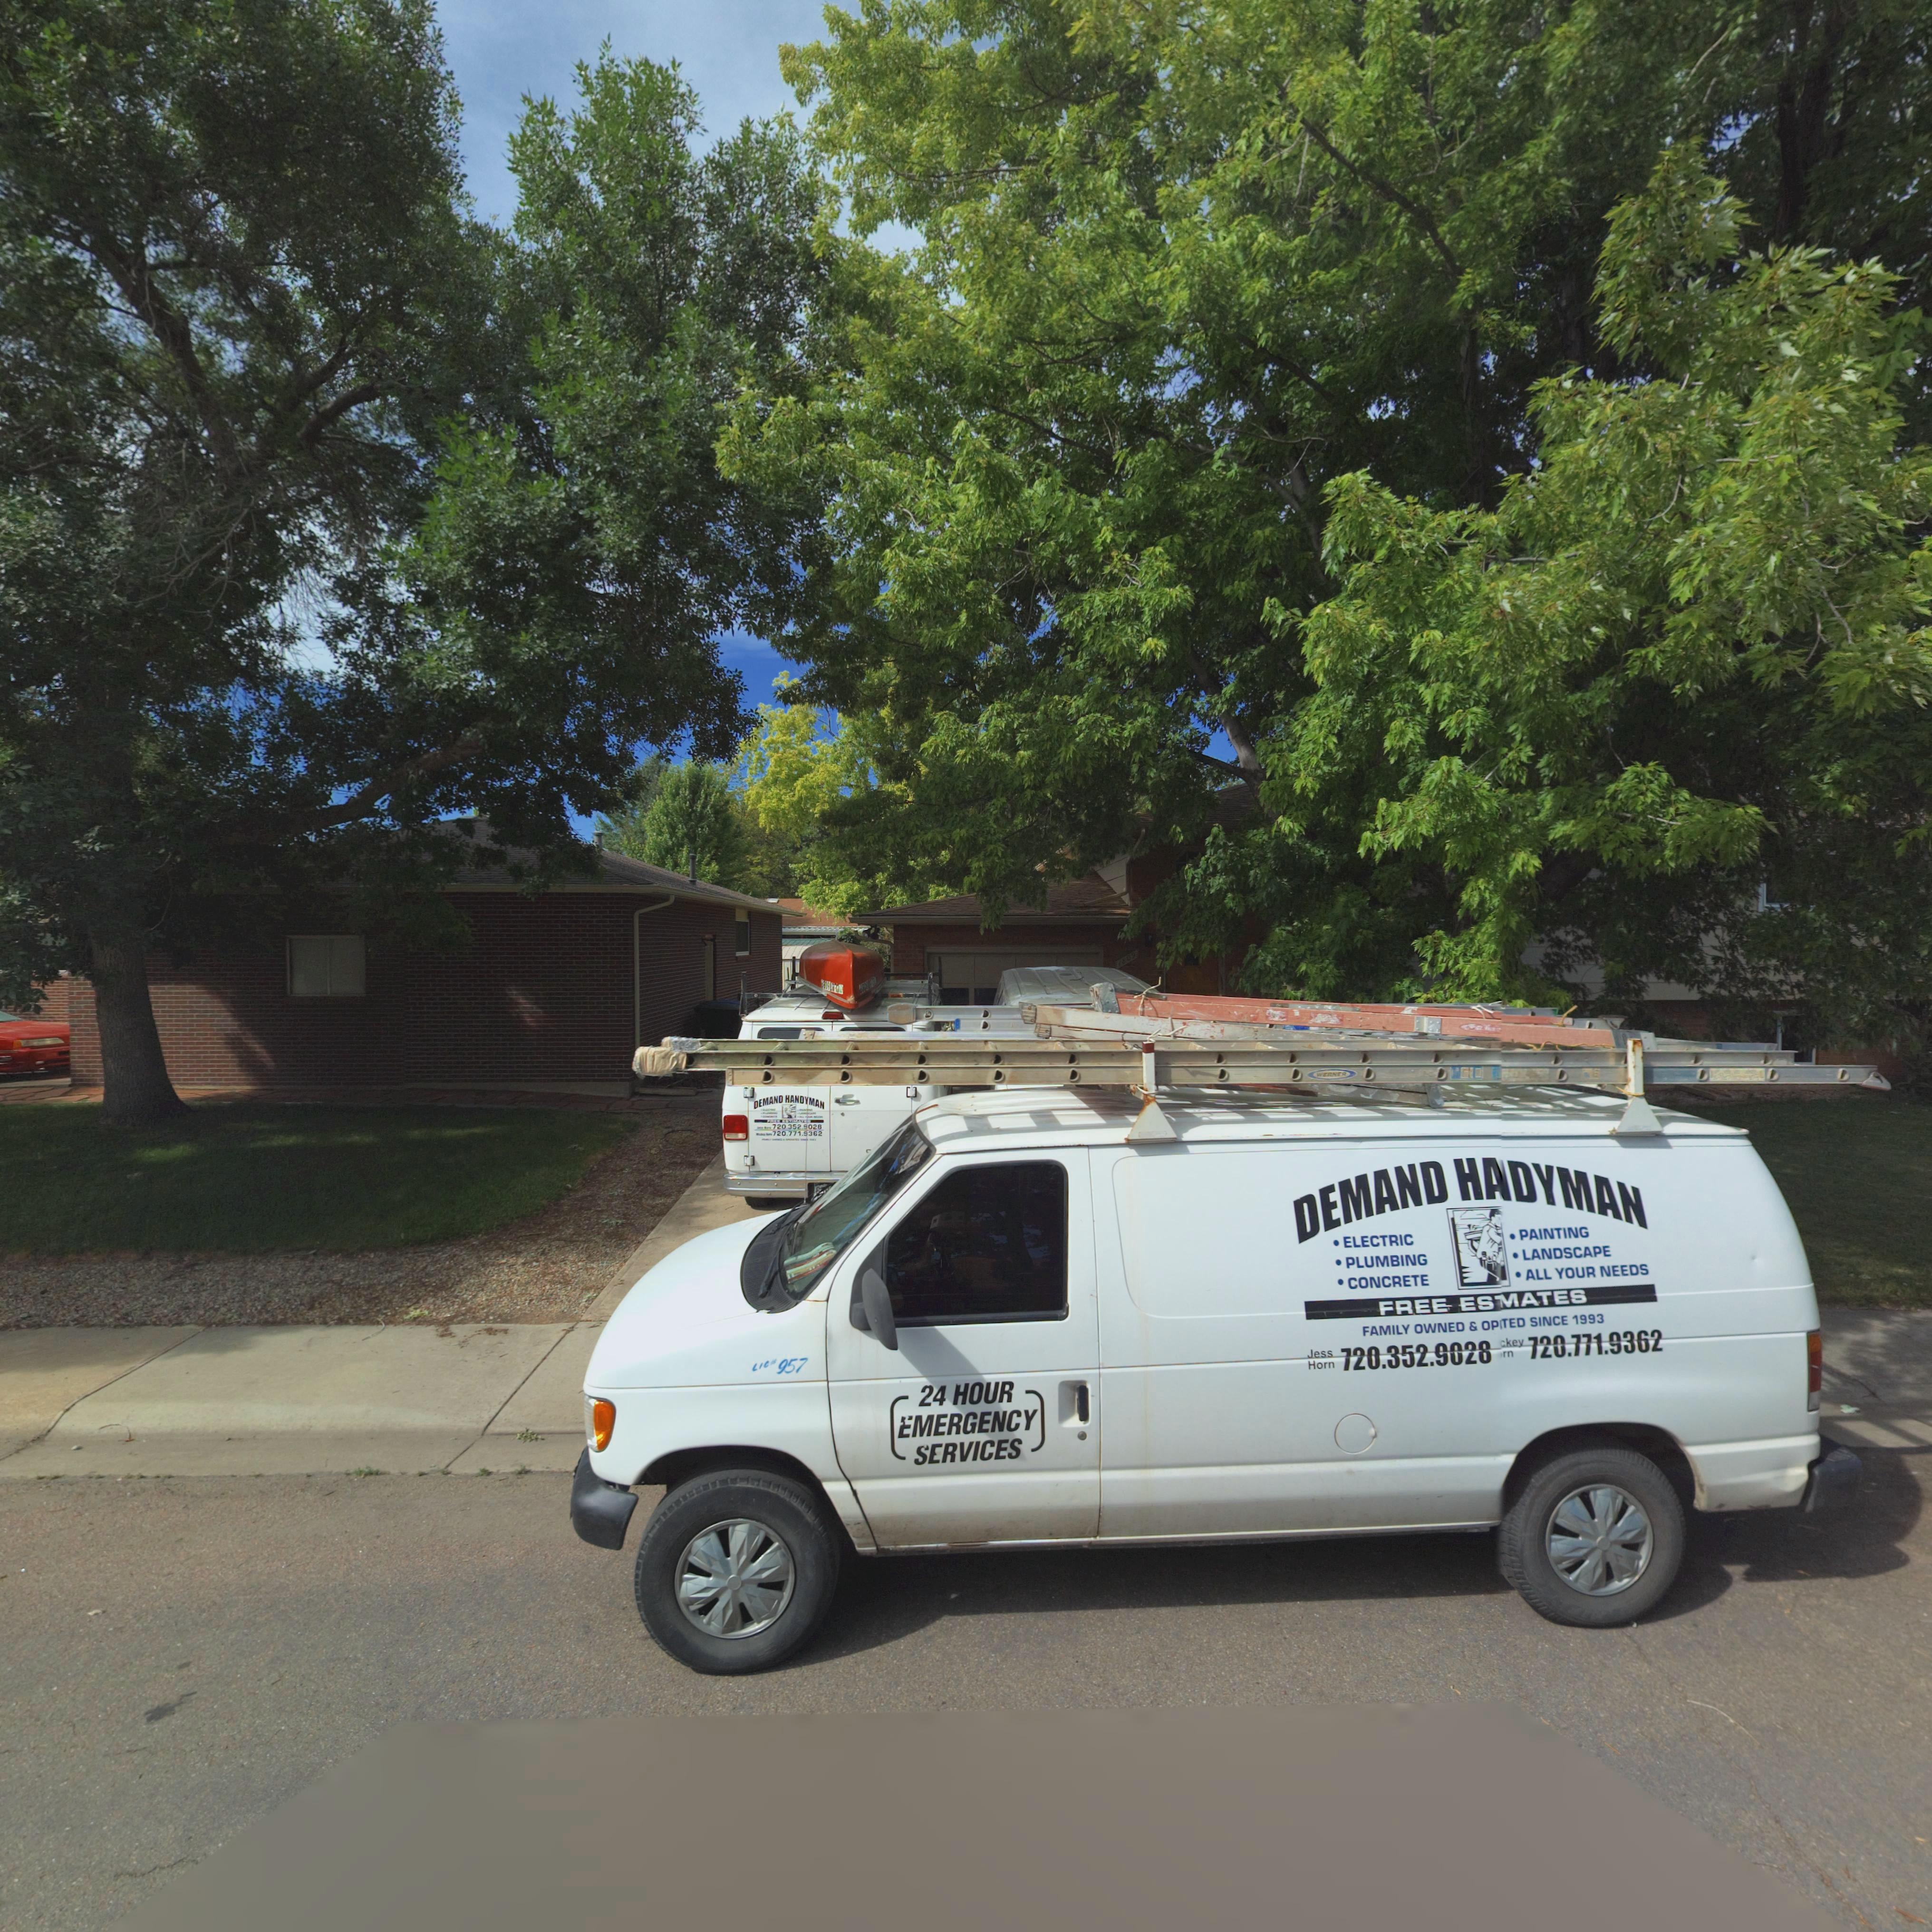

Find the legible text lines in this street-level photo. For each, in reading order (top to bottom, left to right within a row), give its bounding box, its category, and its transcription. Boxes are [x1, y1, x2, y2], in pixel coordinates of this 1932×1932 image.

[1118, 951, 1136, 966] StreetNumber: 1809